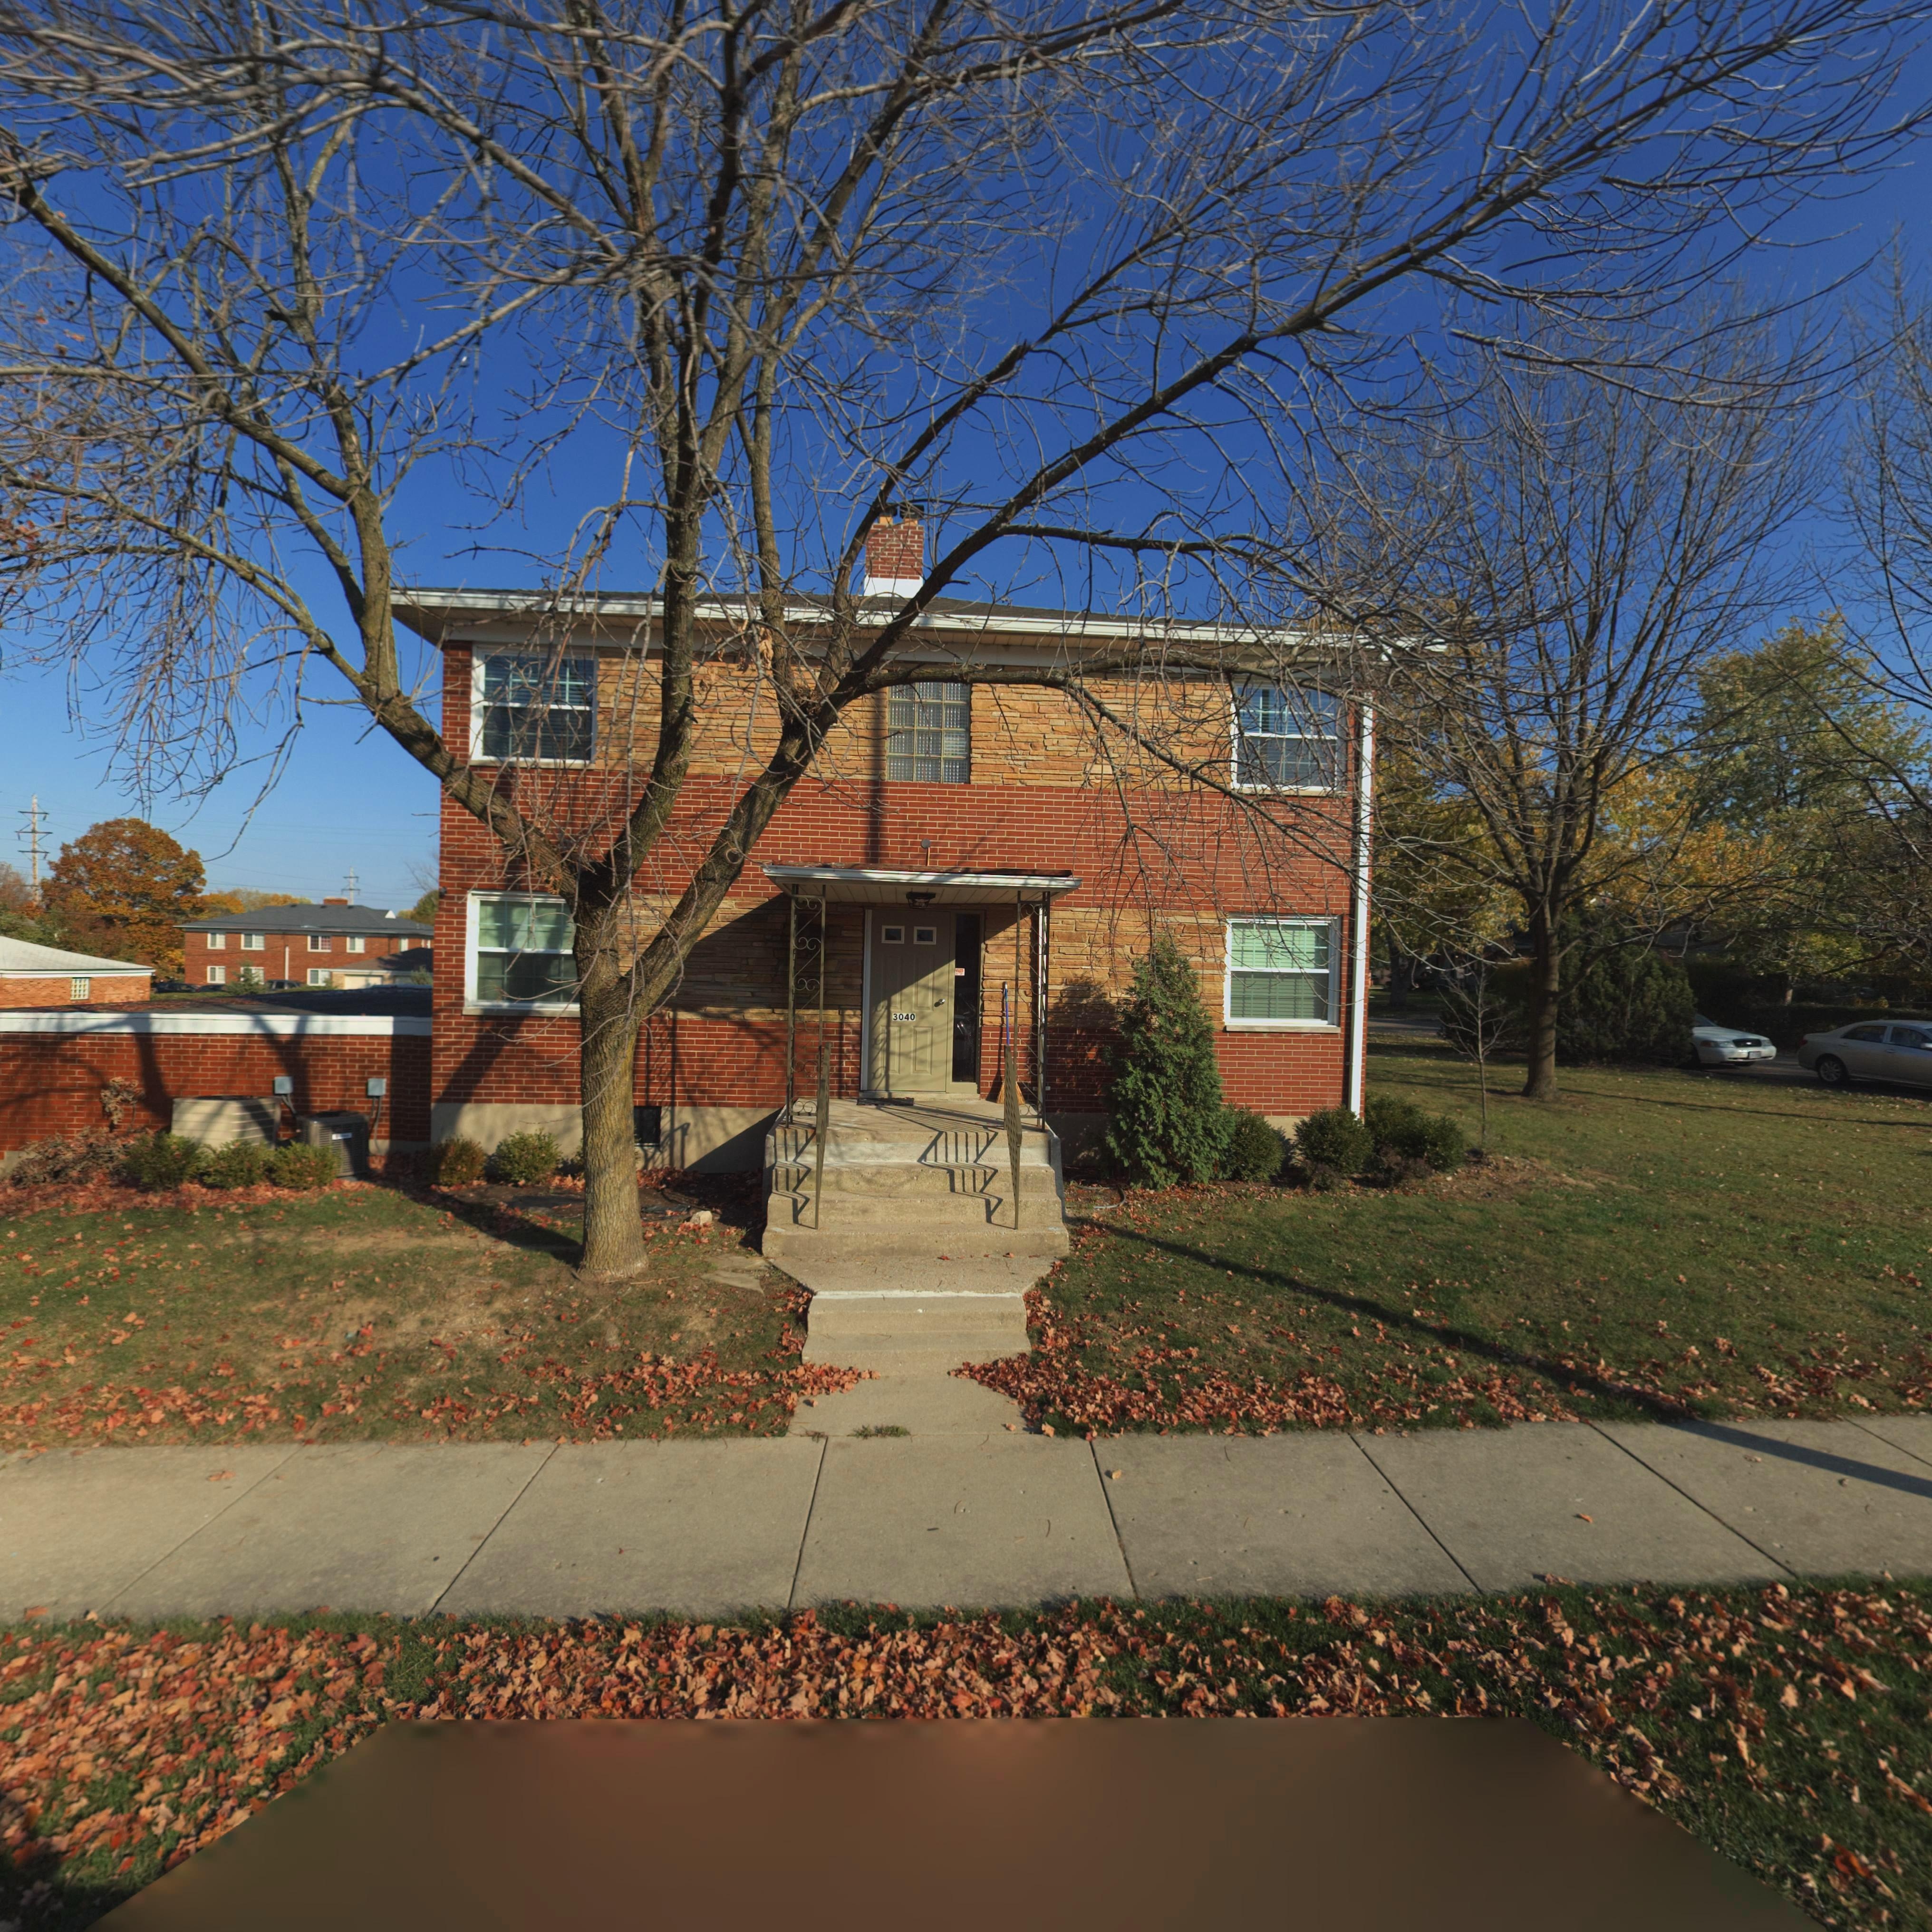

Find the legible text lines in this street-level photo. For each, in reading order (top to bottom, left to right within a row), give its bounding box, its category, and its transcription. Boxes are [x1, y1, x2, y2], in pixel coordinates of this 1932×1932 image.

[892, 1013, 916, 1022] StreetNumber: 3040